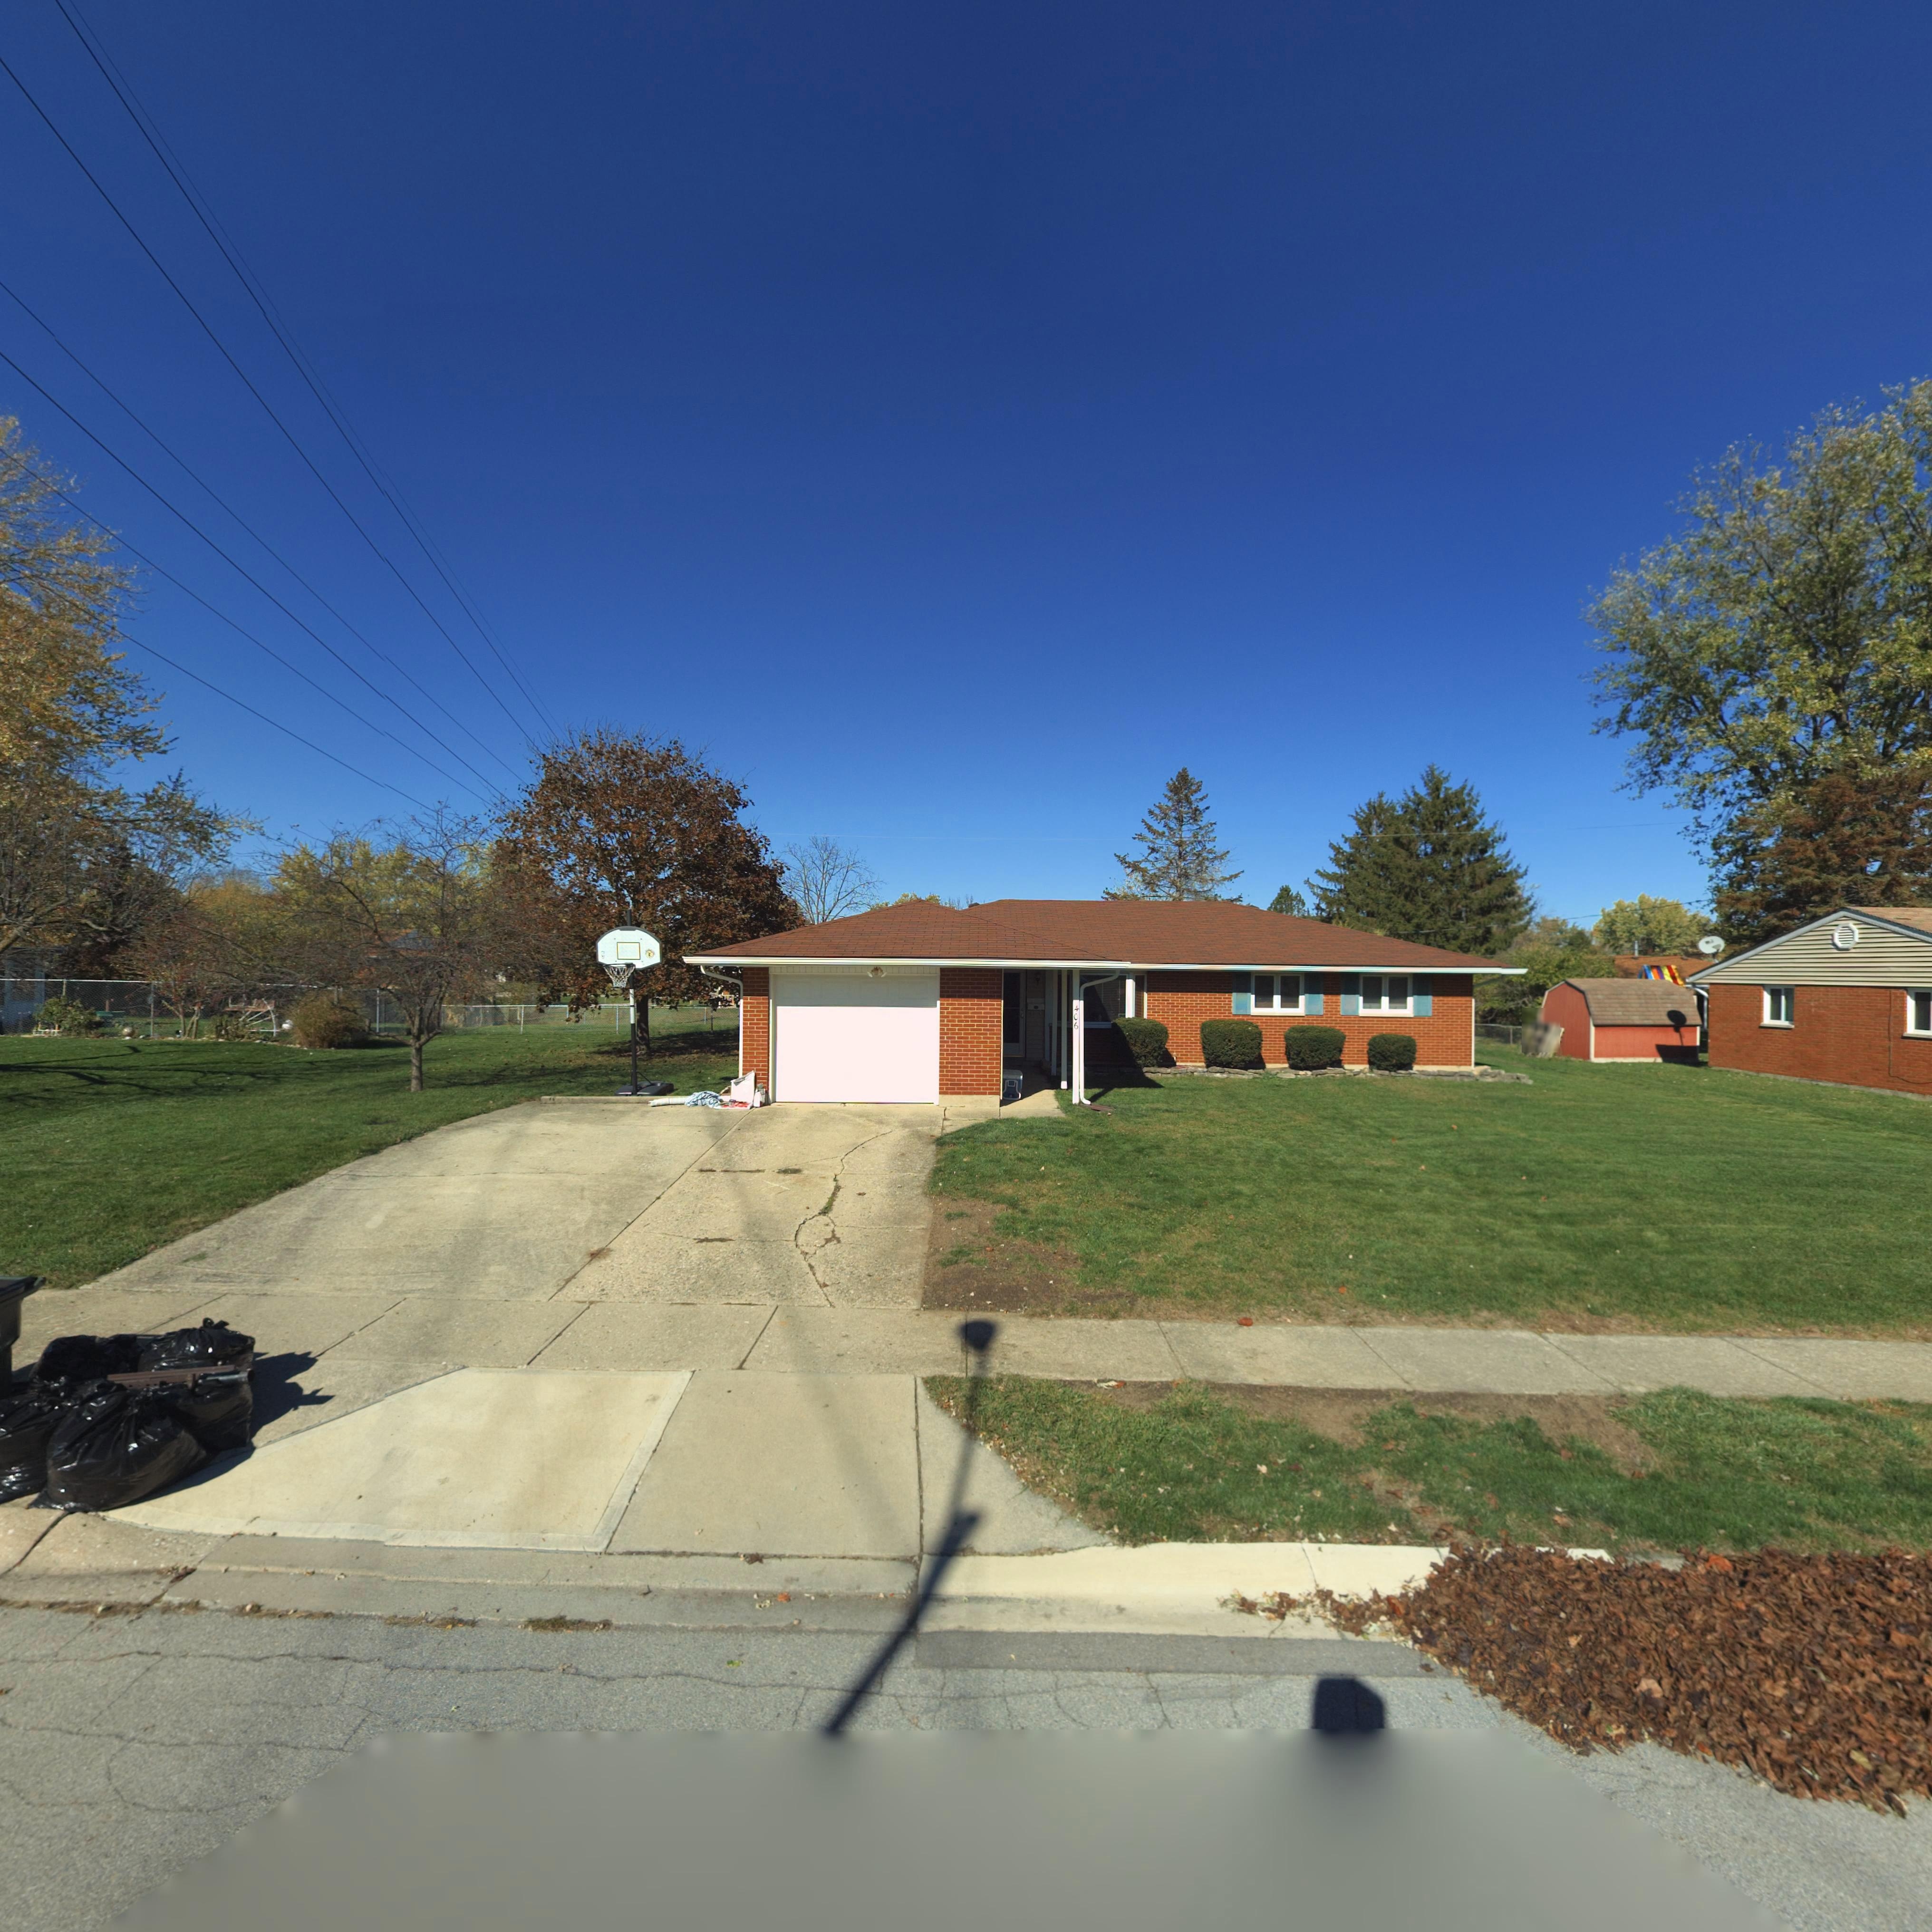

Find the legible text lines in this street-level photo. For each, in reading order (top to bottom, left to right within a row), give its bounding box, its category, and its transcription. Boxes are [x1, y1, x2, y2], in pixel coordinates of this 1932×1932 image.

[1072, 1004, 1080, 1031] StreetNumber: 406